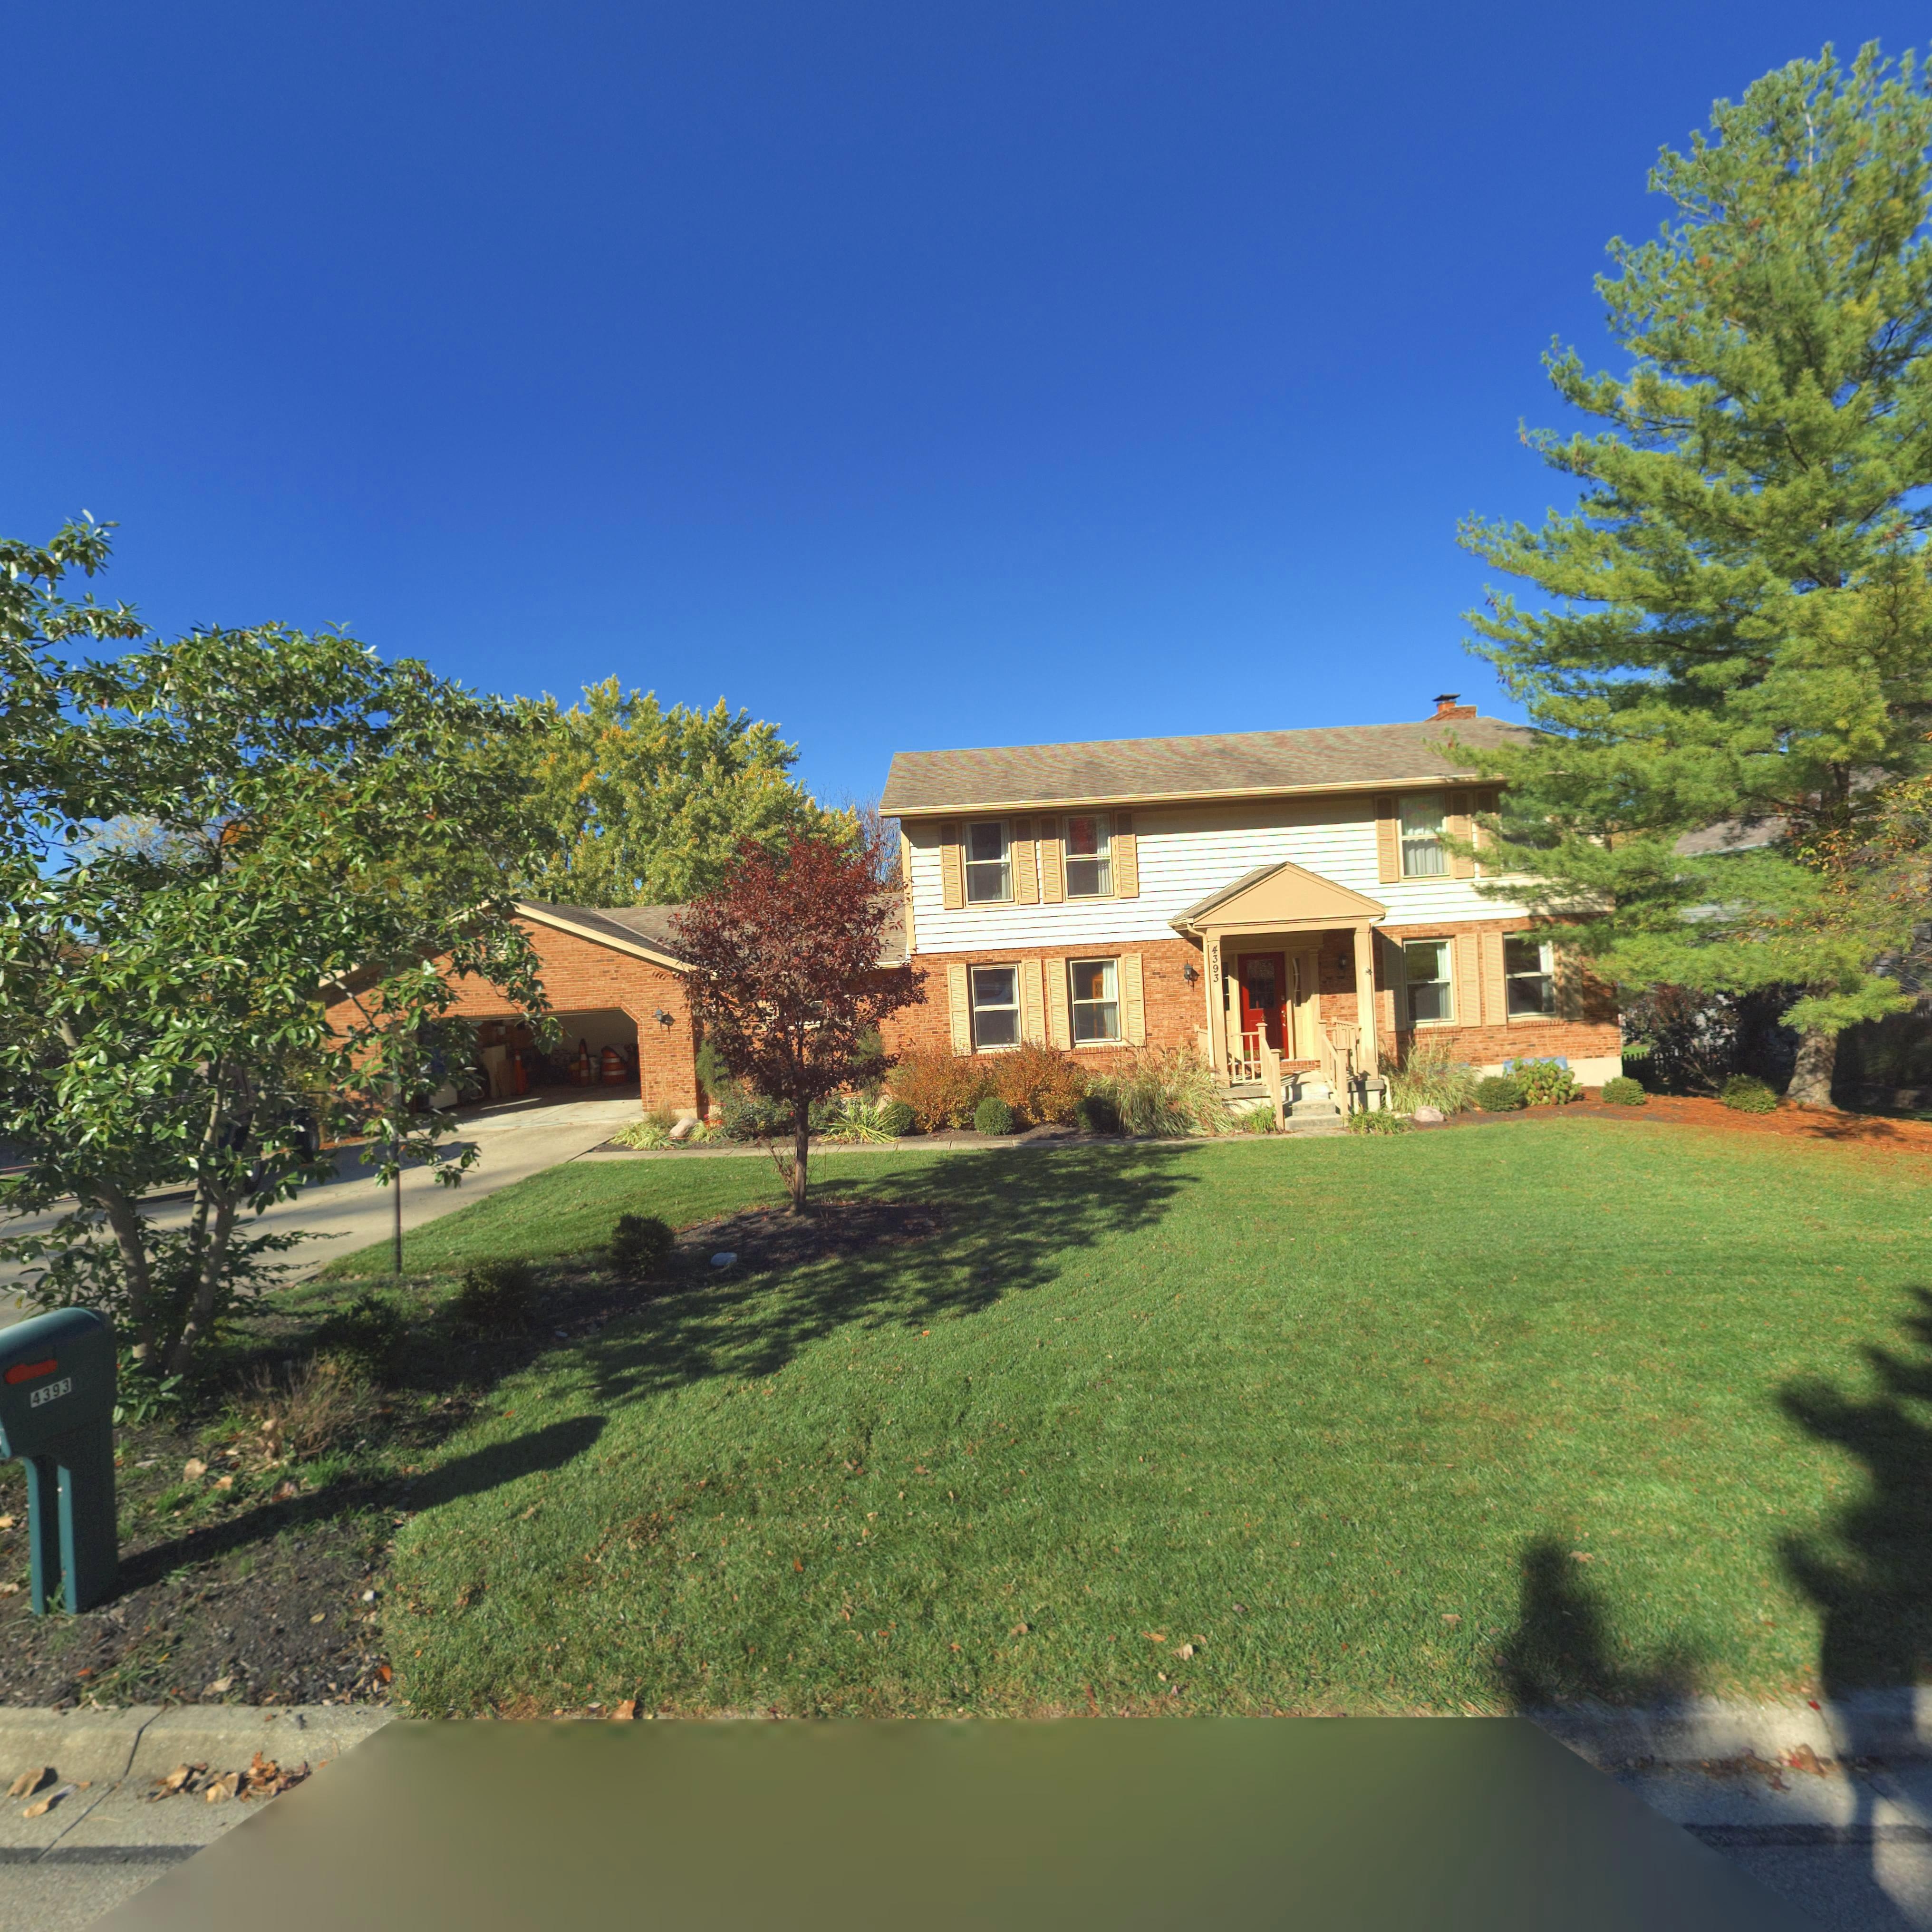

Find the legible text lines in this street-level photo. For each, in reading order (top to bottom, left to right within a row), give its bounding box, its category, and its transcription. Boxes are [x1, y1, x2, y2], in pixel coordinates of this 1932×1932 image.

[1211, 944, 1219, 983] StreetNumber: 4393
[30, 1378, 69, 1407] StreetNumber: 4393